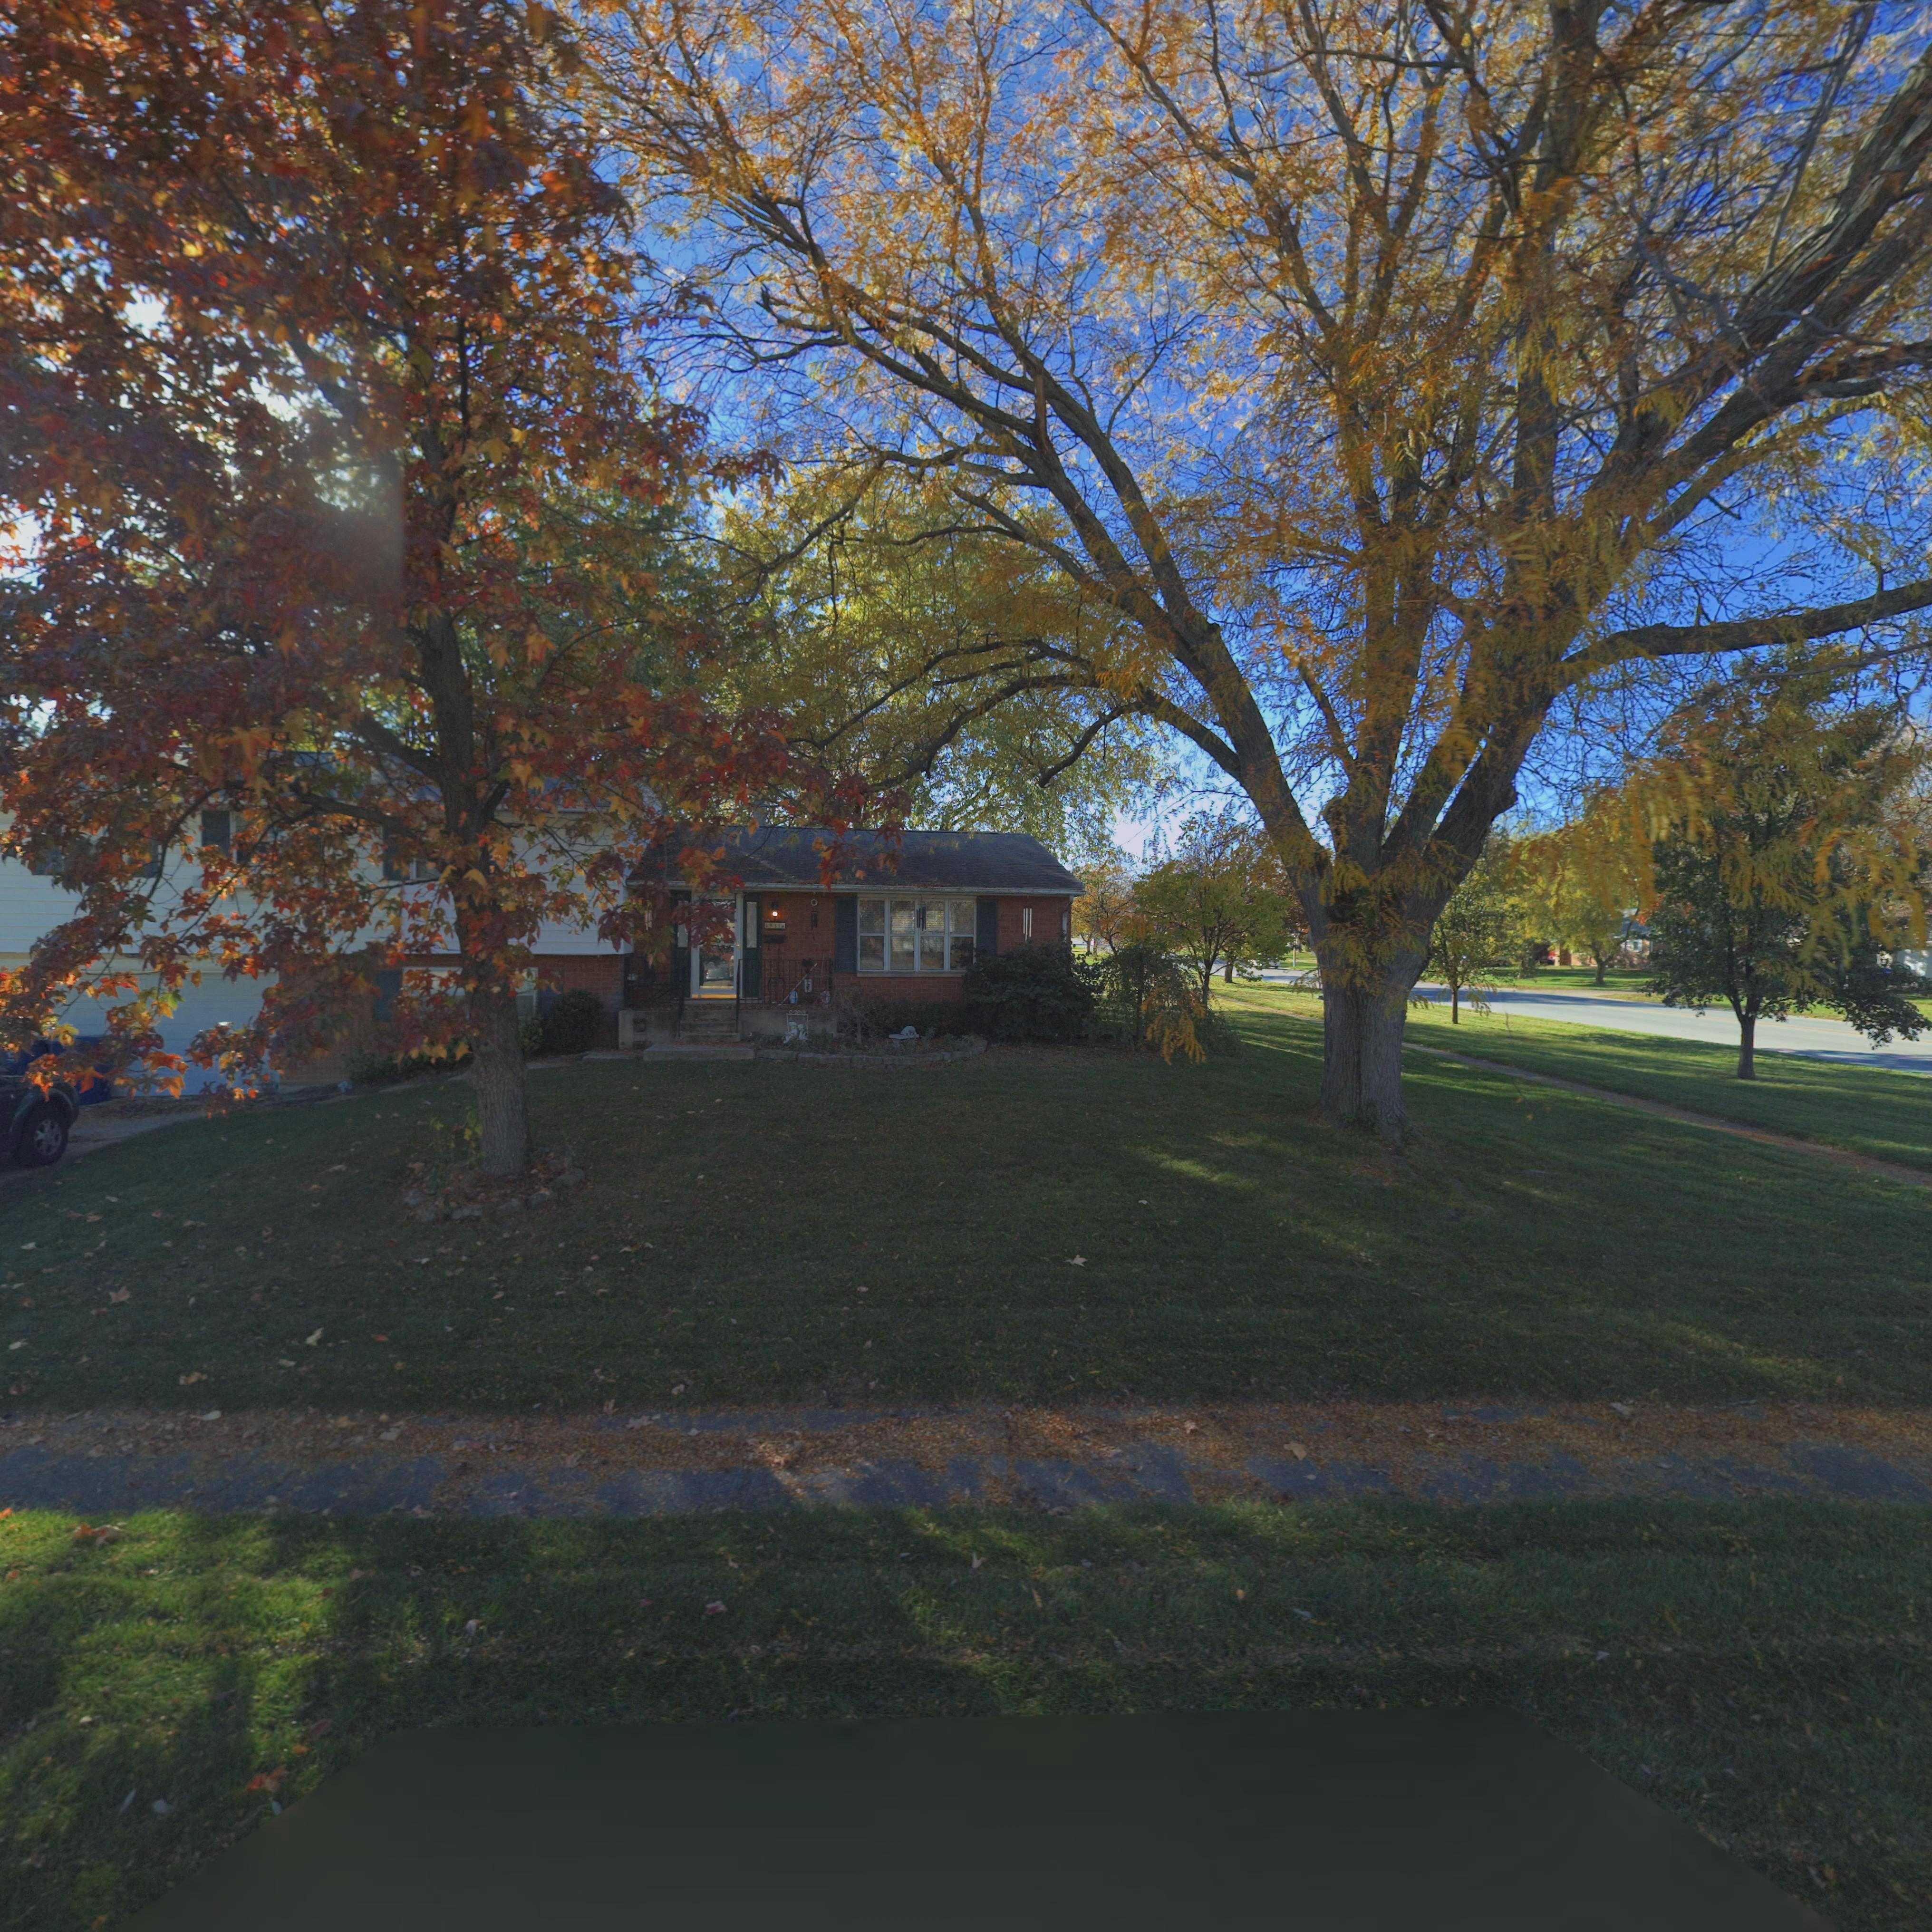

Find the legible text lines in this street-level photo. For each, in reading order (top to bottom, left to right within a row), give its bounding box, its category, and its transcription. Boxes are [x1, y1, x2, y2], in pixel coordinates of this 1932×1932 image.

[765, 923, 780, 928] StreetNumber: 6931